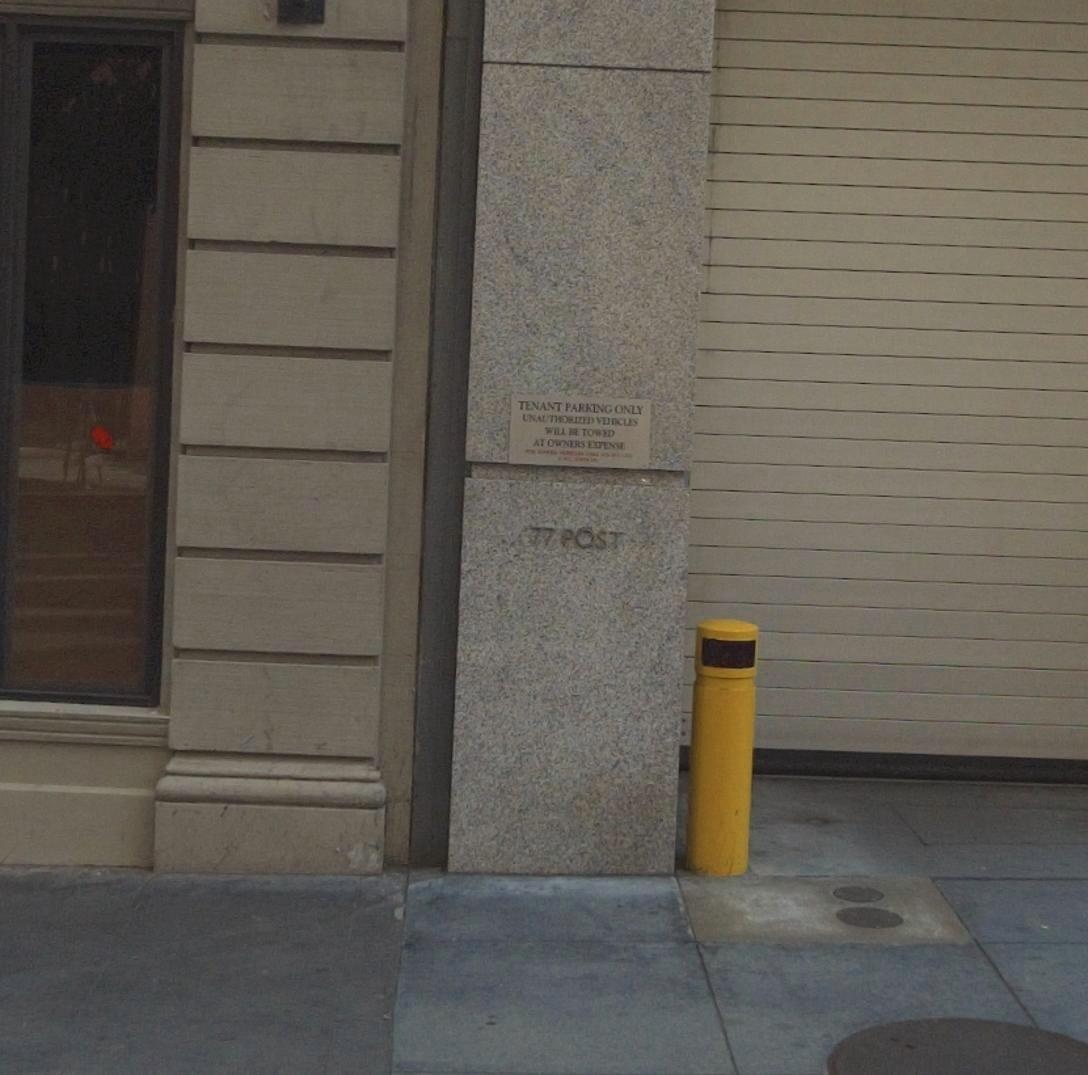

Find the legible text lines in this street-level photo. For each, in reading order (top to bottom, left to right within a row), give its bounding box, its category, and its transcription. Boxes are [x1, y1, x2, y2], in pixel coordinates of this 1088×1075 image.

[517, 400, 645, 416] None: TENANT PARKING ONLY
[520, 412, 640, 427] None: UNAUTHORIZED VE*ICLES
[543, 424, 616, 439] None: WILL BE TOWED
[530, 437, 626, 450] None: AT OWNERS EXPENSE
[528, 526, 558, 547] StreetNumber: 77
[559, 527, 627, 550] StreetName: POST